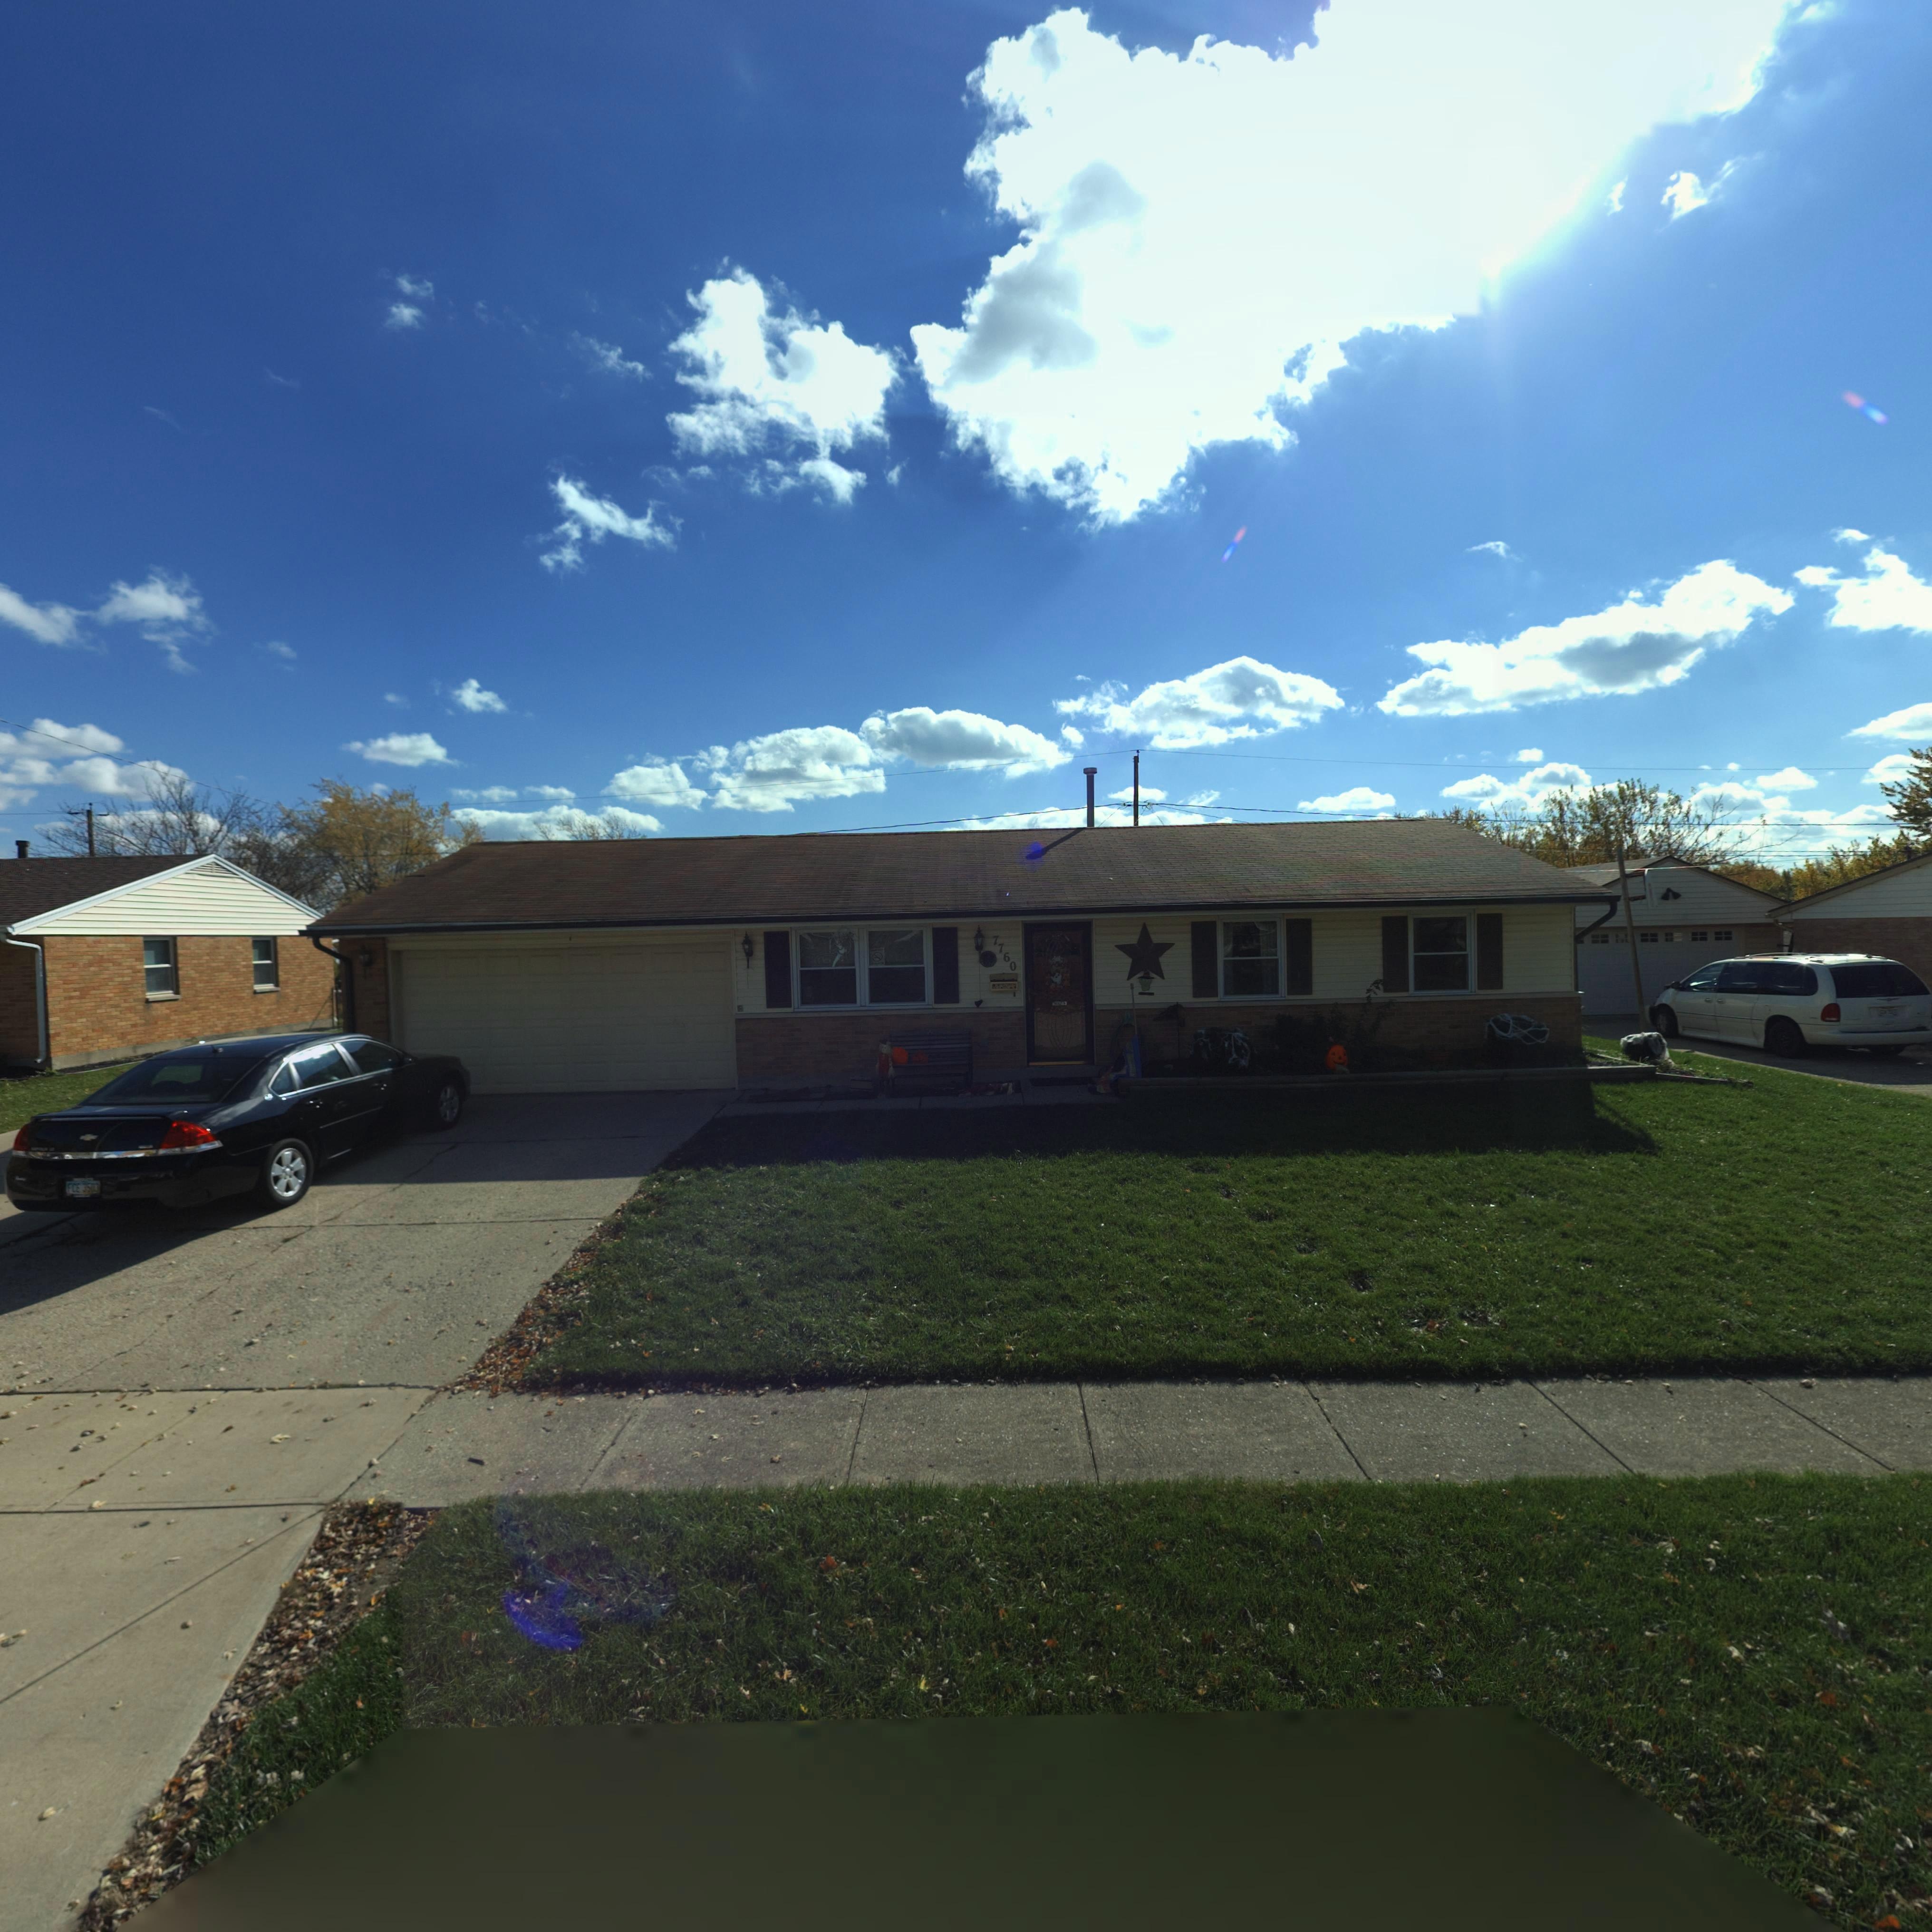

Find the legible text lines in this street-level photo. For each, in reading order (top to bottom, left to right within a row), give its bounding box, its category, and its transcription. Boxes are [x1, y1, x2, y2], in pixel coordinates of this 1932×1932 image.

[992, 935, 1017, 972] StreetNumber: 7760